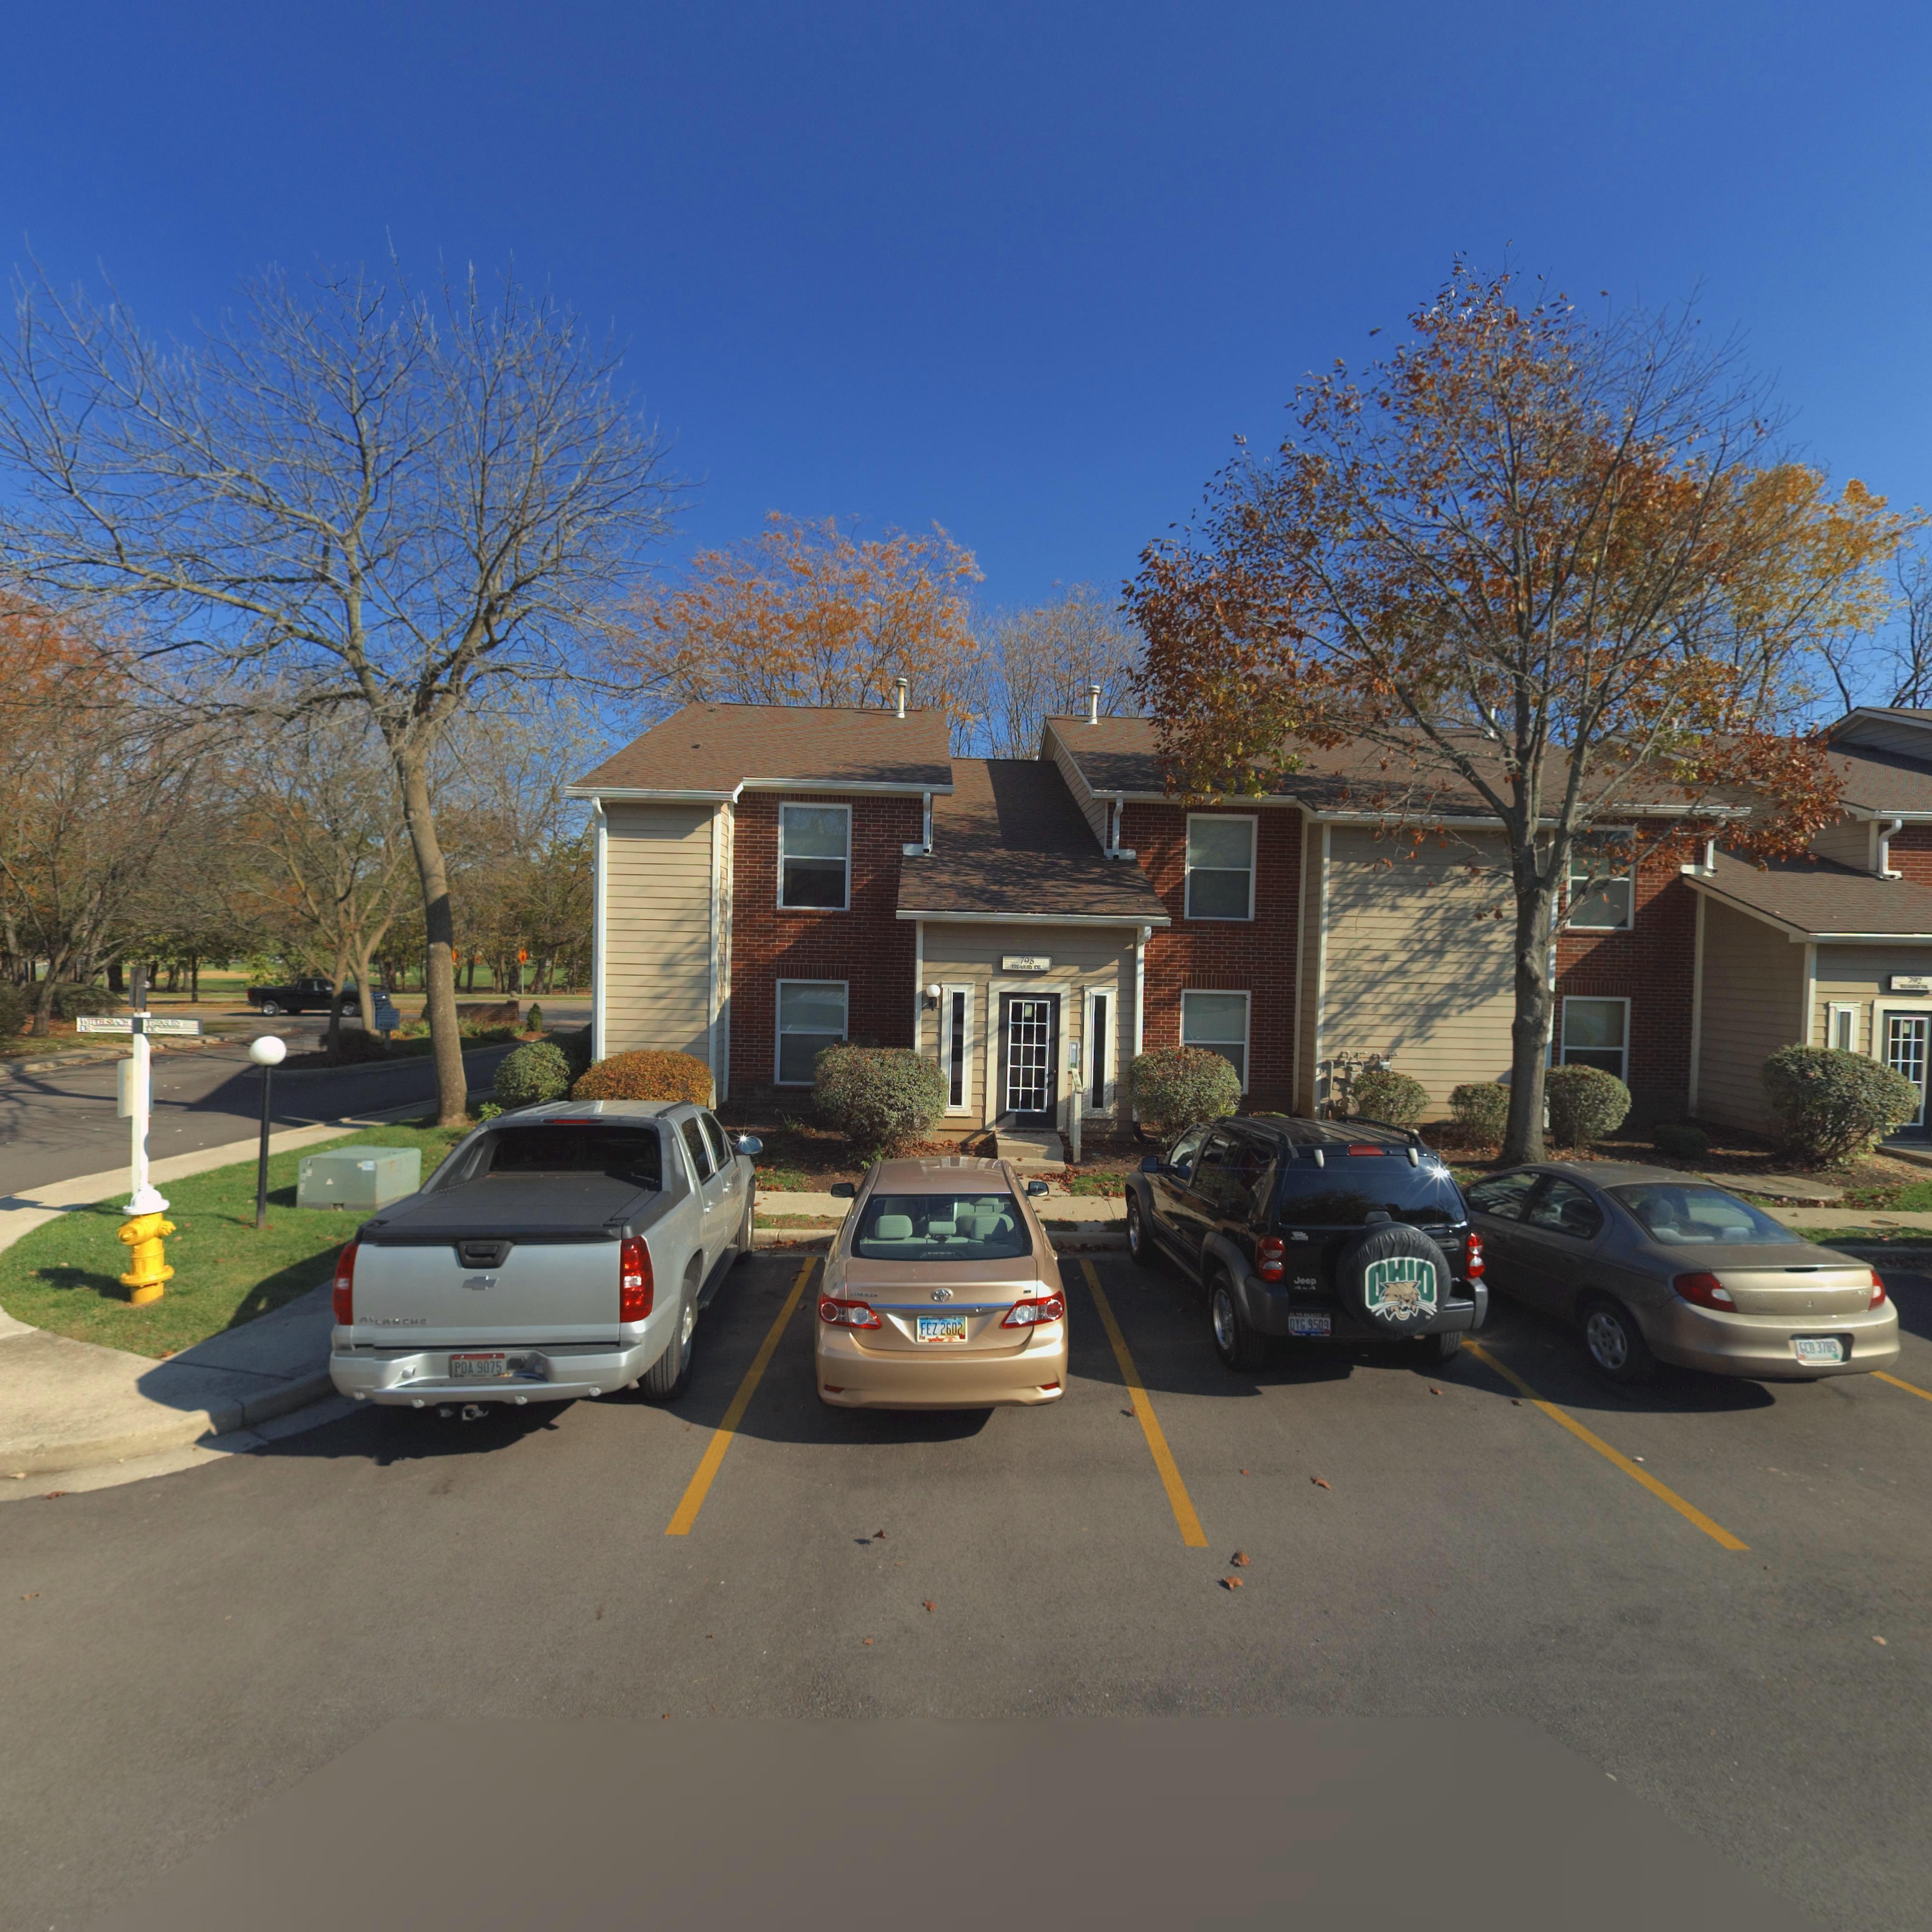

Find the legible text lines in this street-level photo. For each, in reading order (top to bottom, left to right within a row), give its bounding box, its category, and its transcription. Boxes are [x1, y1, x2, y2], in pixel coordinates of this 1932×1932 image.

[1019, 956, 1035, 965] StreetNumber: 798
[1011, 964, 1042, 970] StreetName: TREASURY DR
[1907, 976, 1923, 985] StreetNumber: 792
[79, 1018, 130, 1026] StreetName: WITT**SBACH
[146, 1019, 182, 1026] StreetName: T**ASURY
[80, 1024, 91, 1032] StreetName: DR
[145, 1026, 157, 1033] StreetName: DR
[1293, 1276, 1317, 1286] None: Jeep
[1367, 1259, 1434, 1306] None: OHIO
[1293, 1285, 1317, 1290] None: 4x4
[359, 1316, 427, 1326] None: A*LA*CHE
[921, 1322, 963, 1335] None: FEZ*2602
[1289, 1318, 1329, 1331] None: DYG*9509
[1798, 1341, 1838, 1354] None: GCD*3789
[454, 1360, 503, 1375] None: PDA*9075